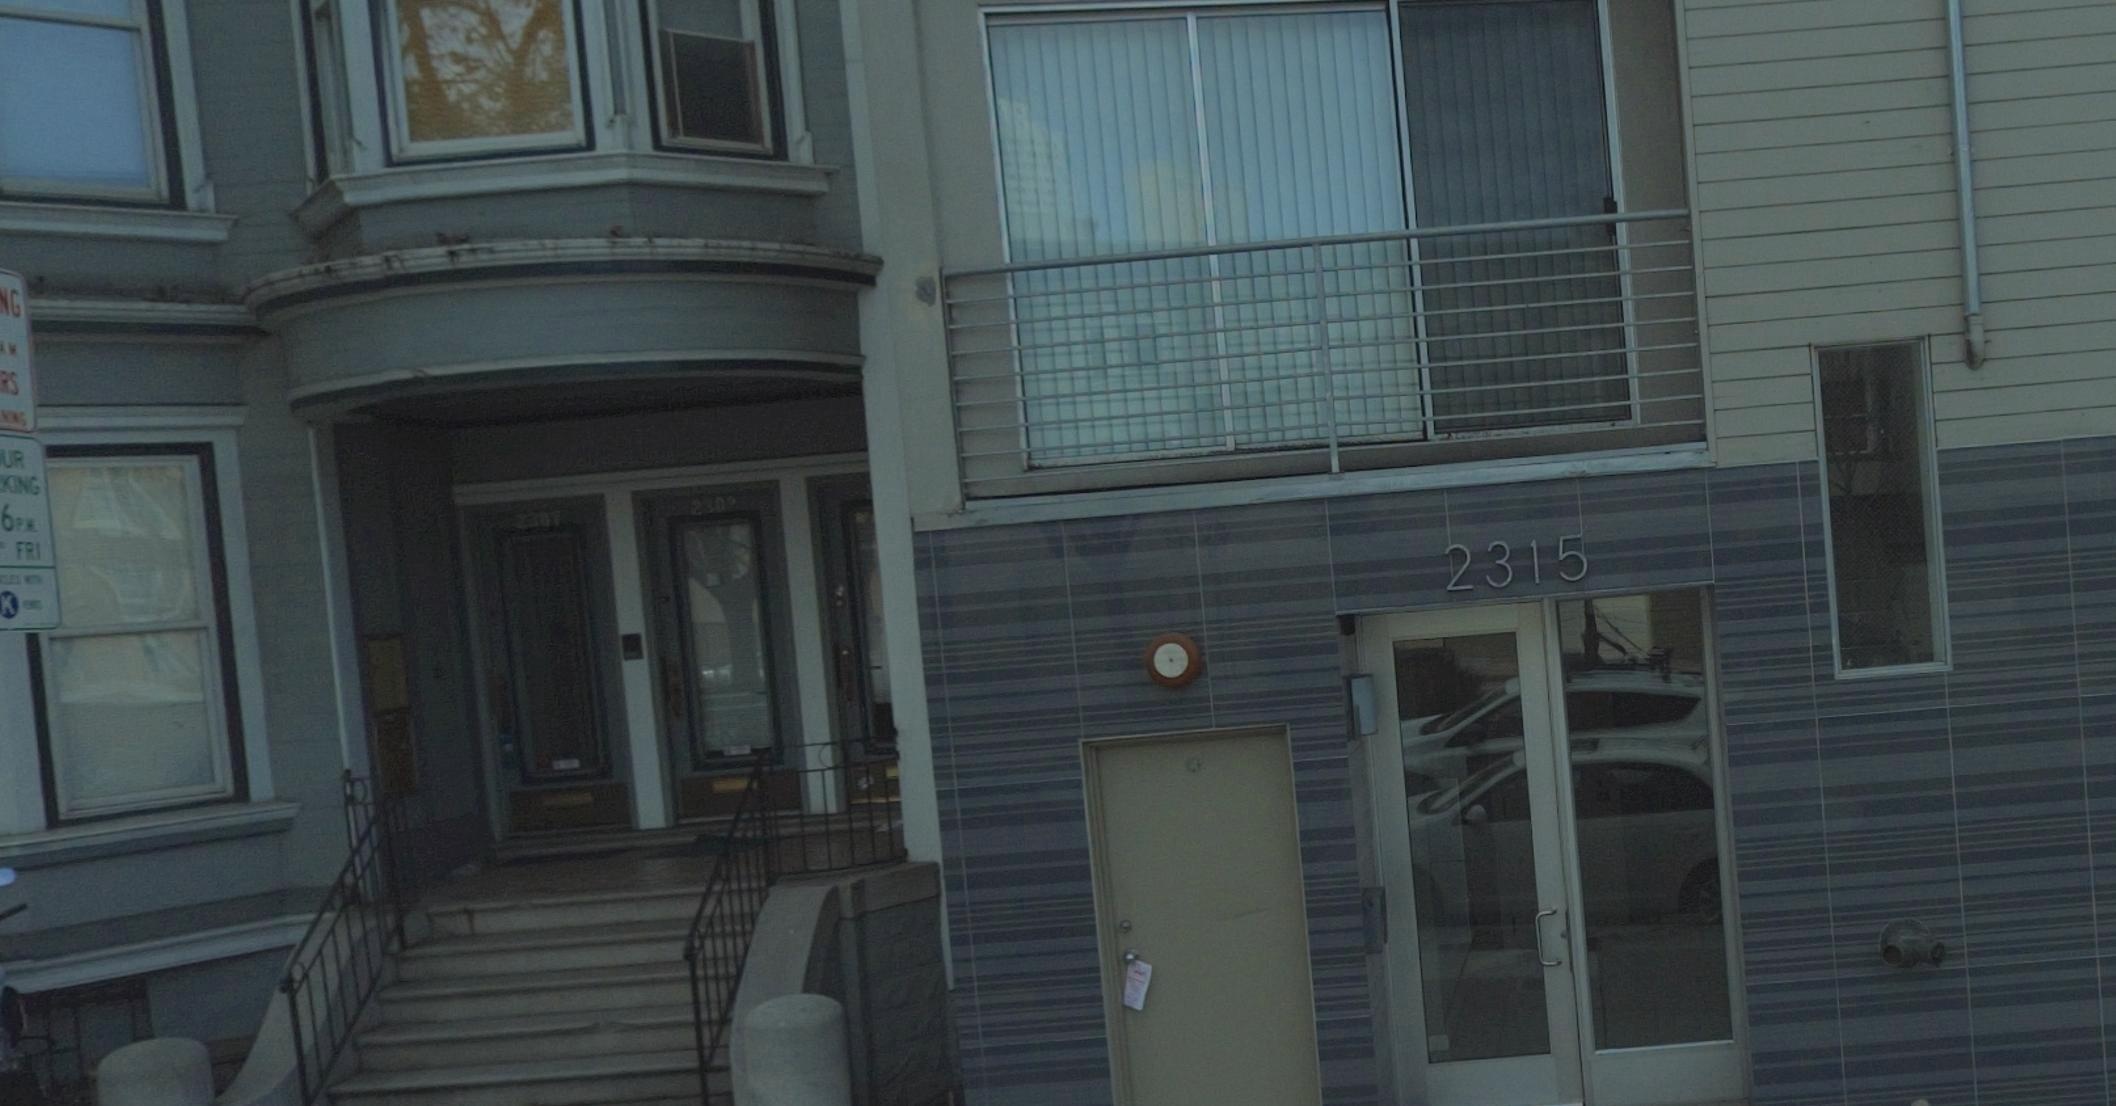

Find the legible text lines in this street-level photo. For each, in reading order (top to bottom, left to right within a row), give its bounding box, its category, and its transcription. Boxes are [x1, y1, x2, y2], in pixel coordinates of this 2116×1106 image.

[8, 286, 25, 320] None: G
[6, 366, 22, 399] None: S
[1, 447, 28, 471] None: UR
[0, 472, 43, 498] None: KING
[0, 500, 42, 536] None: 6 P.M.
[513, 506, 564, 532] StreetNumber: 2307
[686, 493, 741, 520] StreetNumber: 230*
[11, 538, 46, 564] None: FRI
[1443, 530, 1592, 595] StreetNumber: 2315
[0, 591, 19, 619] None: K